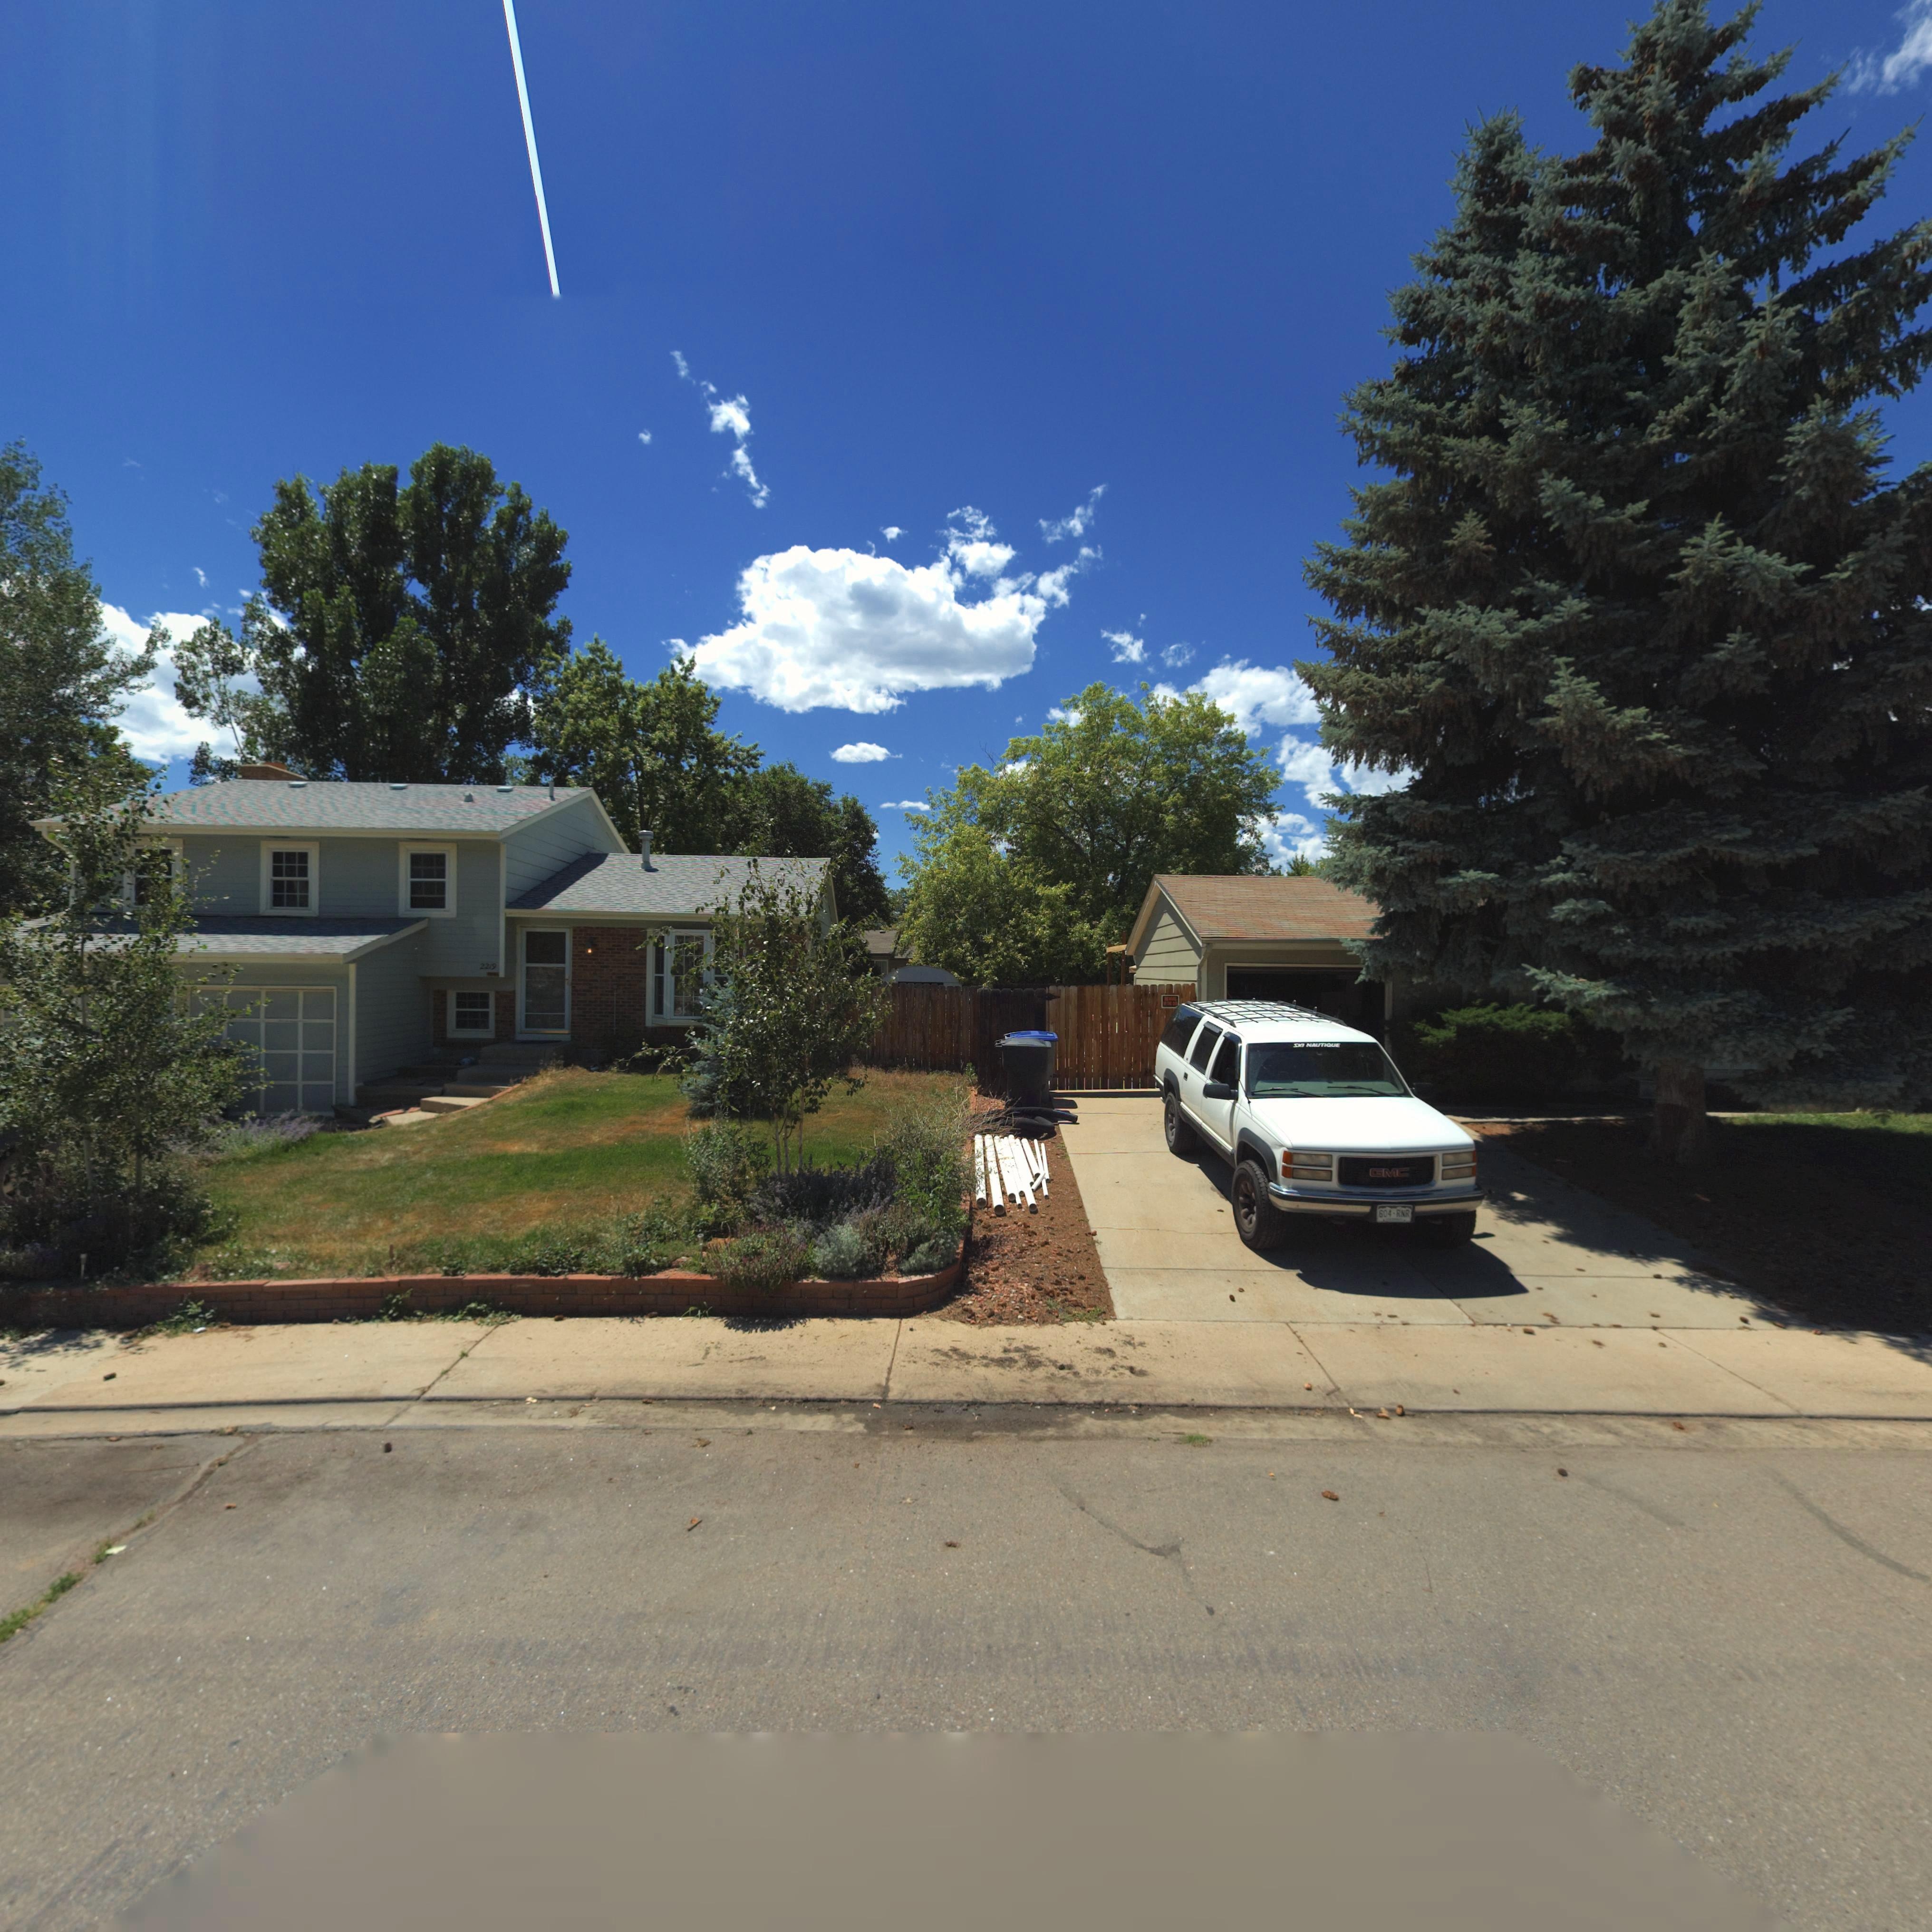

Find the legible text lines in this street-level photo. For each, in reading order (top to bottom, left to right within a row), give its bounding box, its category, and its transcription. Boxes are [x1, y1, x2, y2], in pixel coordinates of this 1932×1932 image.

[479, 962, 497, 970] StreetNumber: 2219